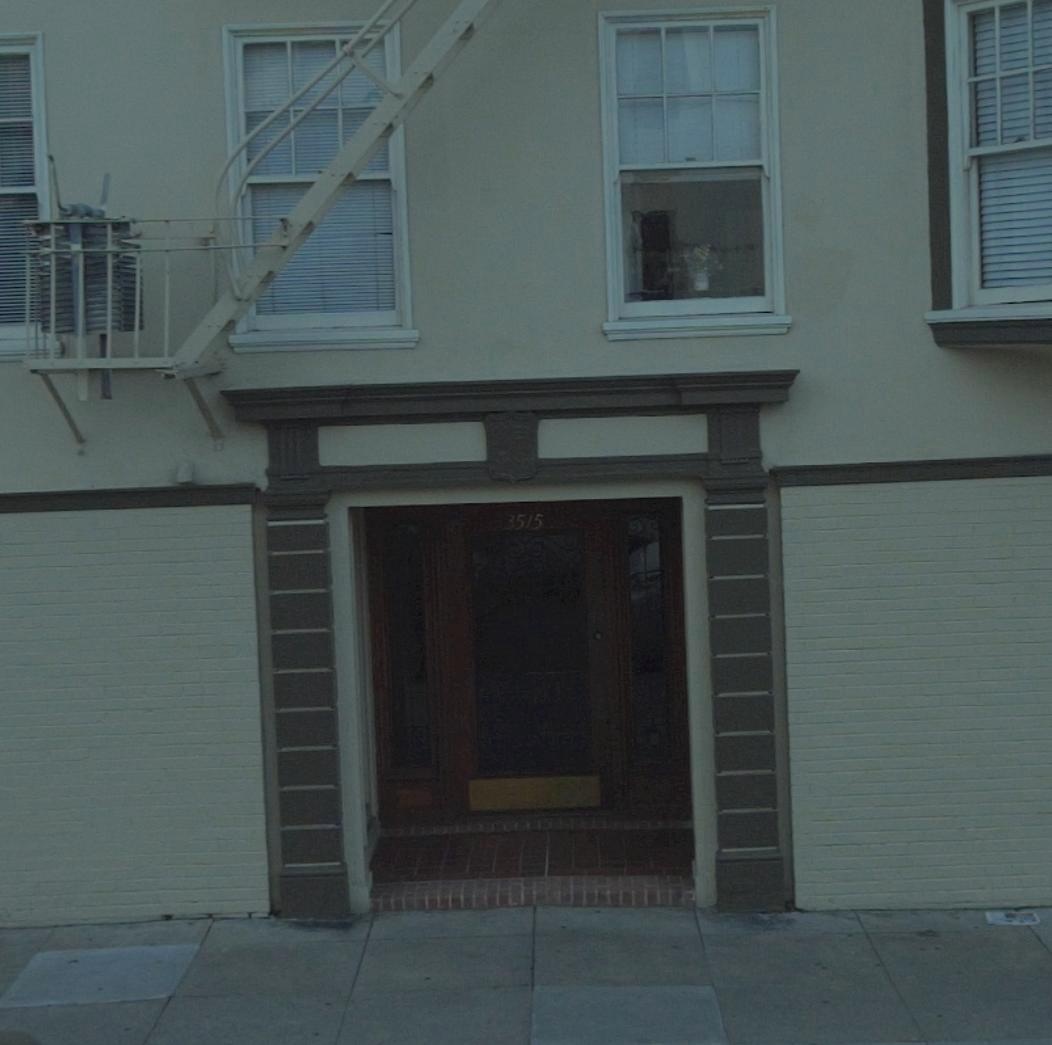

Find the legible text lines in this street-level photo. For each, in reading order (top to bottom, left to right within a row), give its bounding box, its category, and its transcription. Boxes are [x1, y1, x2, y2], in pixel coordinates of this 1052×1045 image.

[503, 511, 545, 532] StreetNumber: 3515